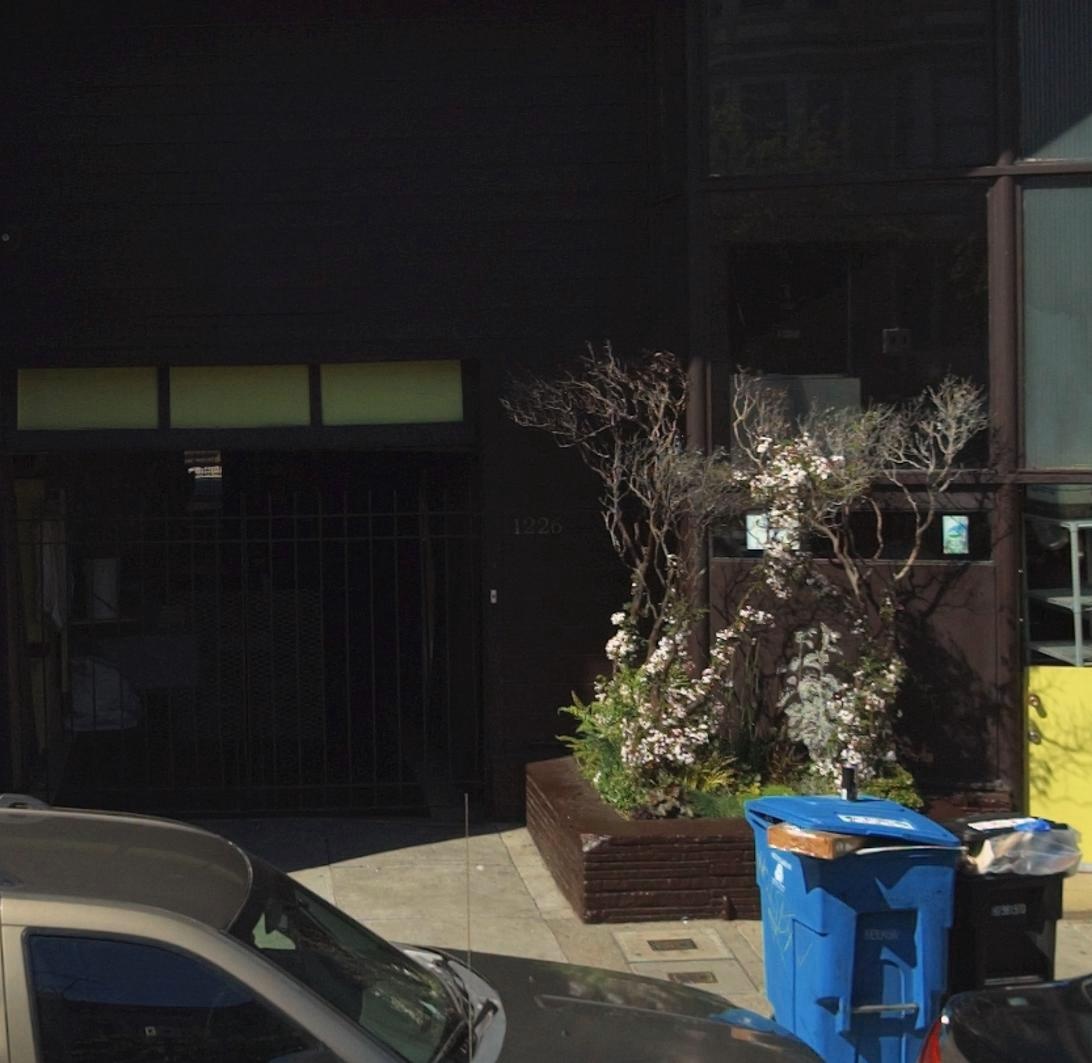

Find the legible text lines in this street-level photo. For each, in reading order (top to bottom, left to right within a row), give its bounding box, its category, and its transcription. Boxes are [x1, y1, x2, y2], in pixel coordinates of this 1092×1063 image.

[508, 513, 566, 540] StreetNumber: 1226